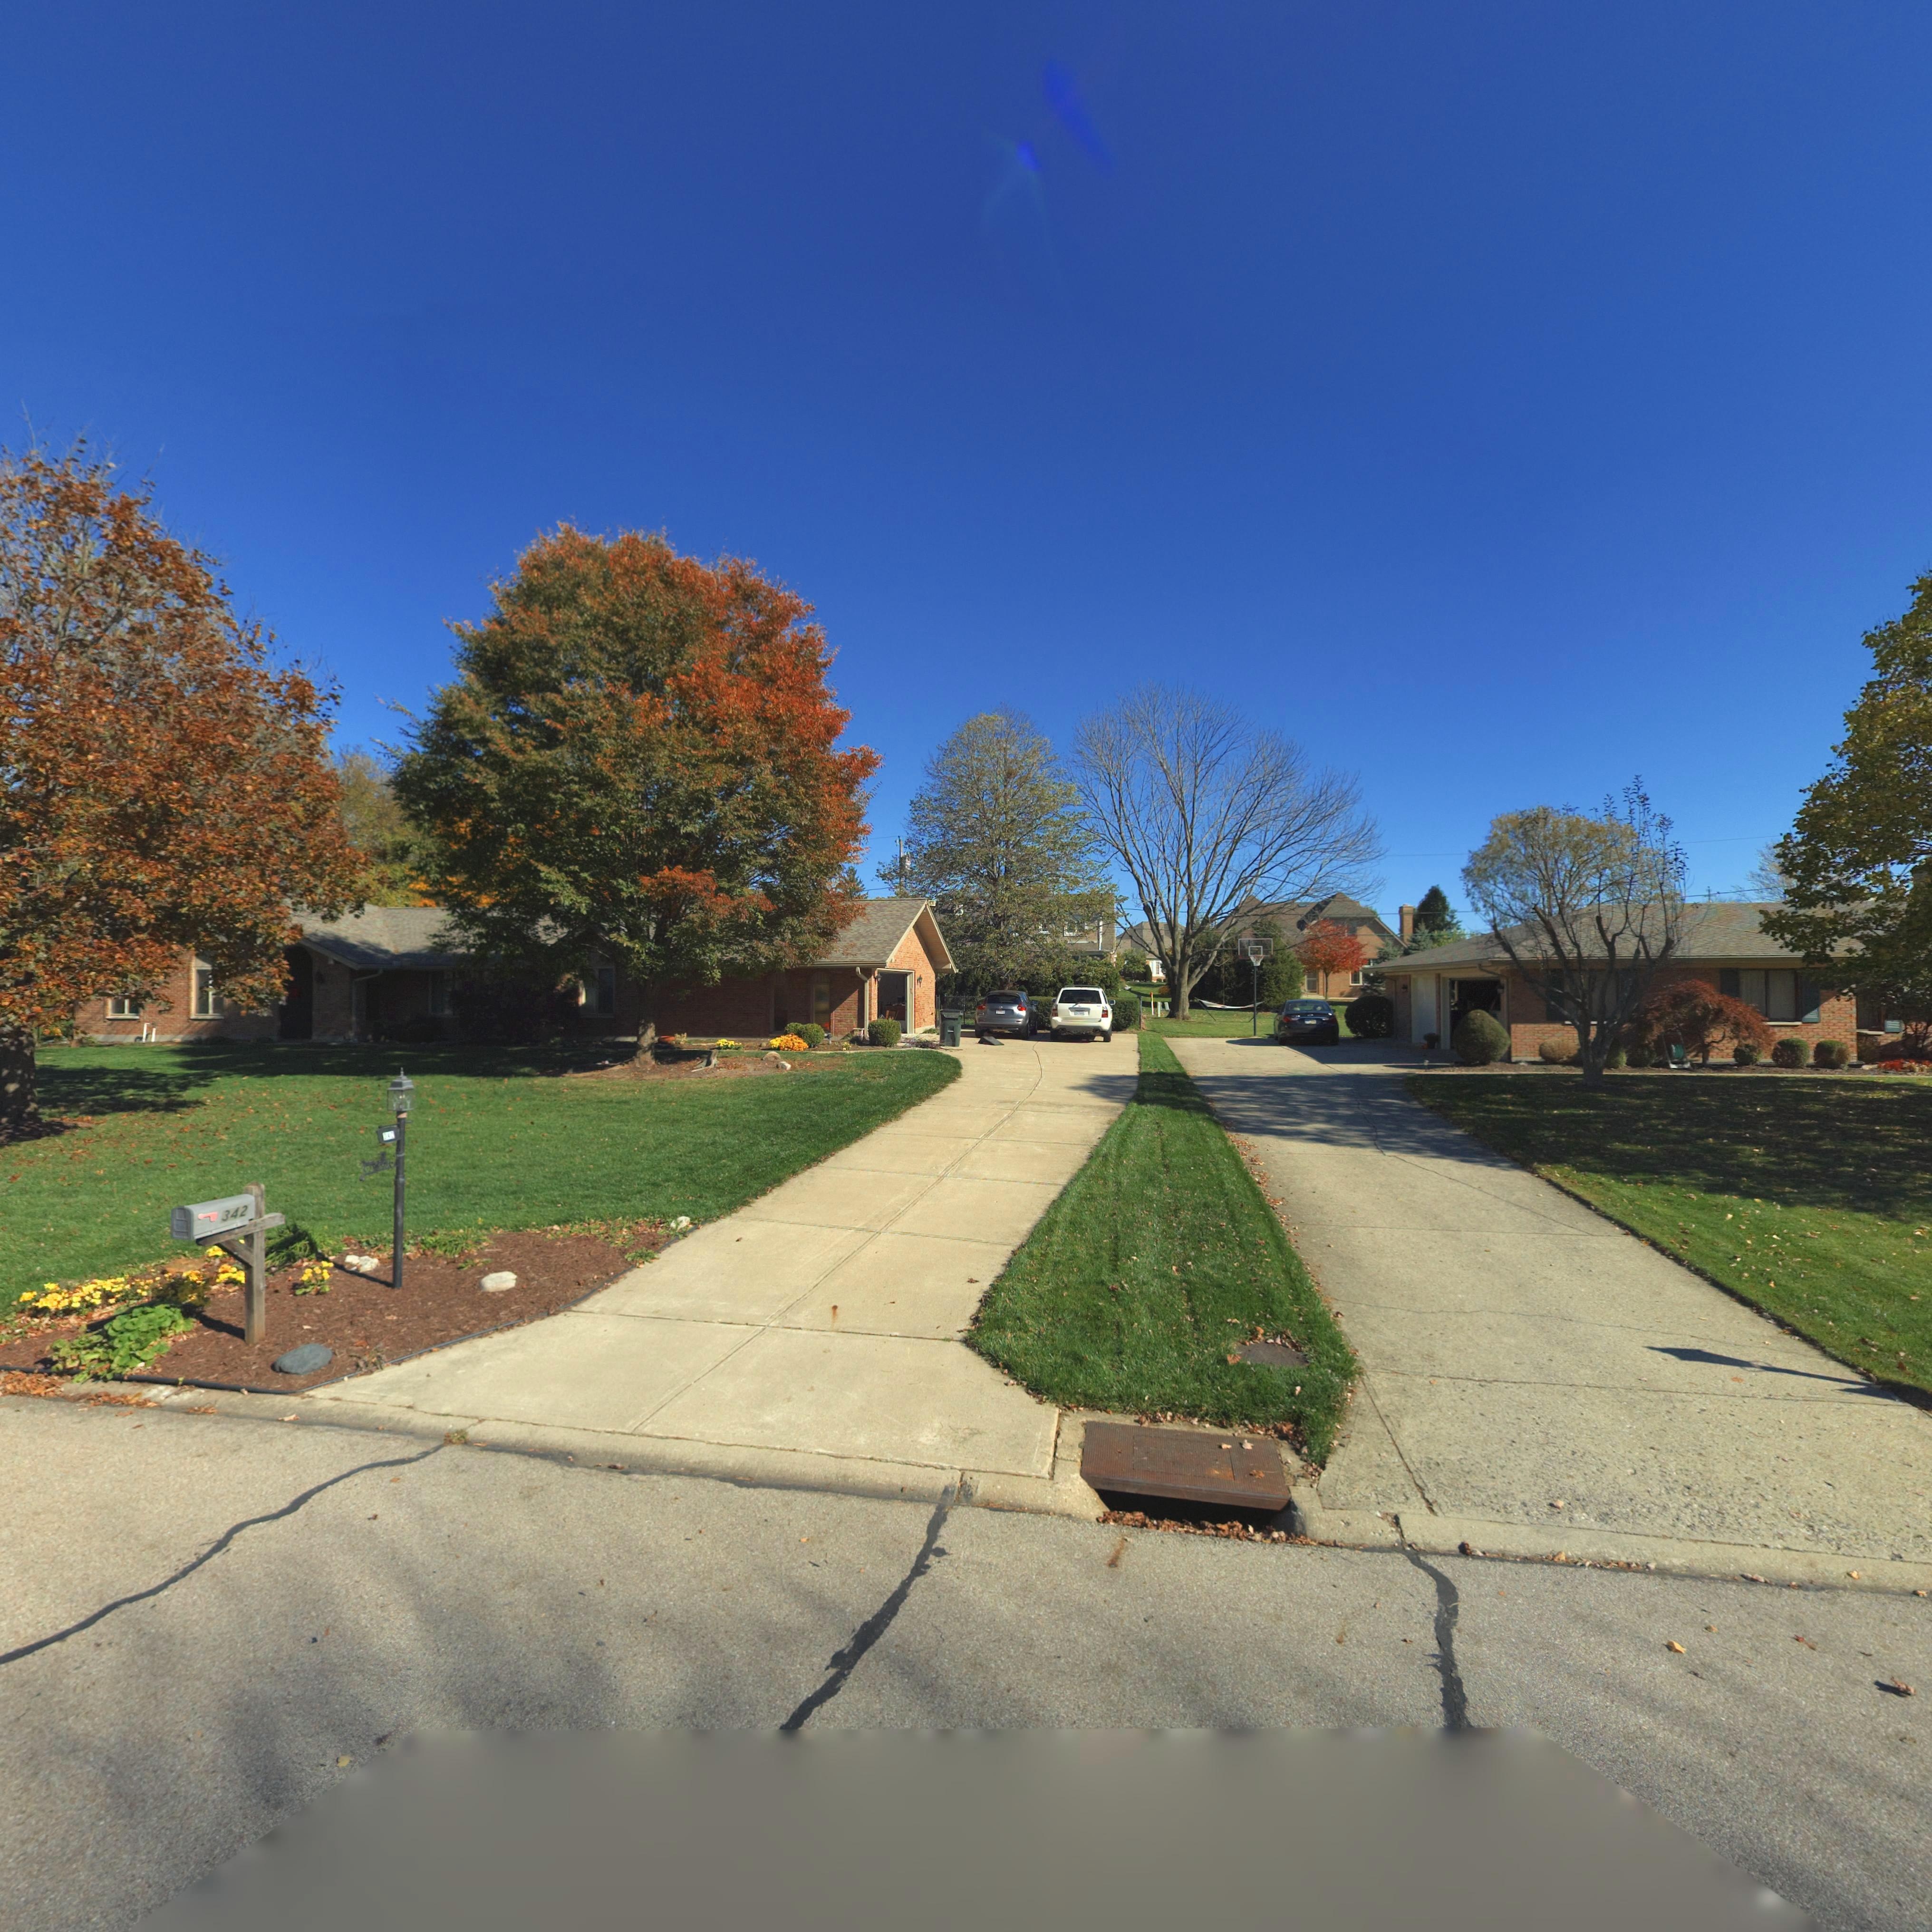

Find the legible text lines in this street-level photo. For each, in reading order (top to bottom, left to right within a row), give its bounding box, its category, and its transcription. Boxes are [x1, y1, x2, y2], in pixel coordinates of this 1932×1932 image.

[220, 1204, 250, 1224] StreetNumber: 342